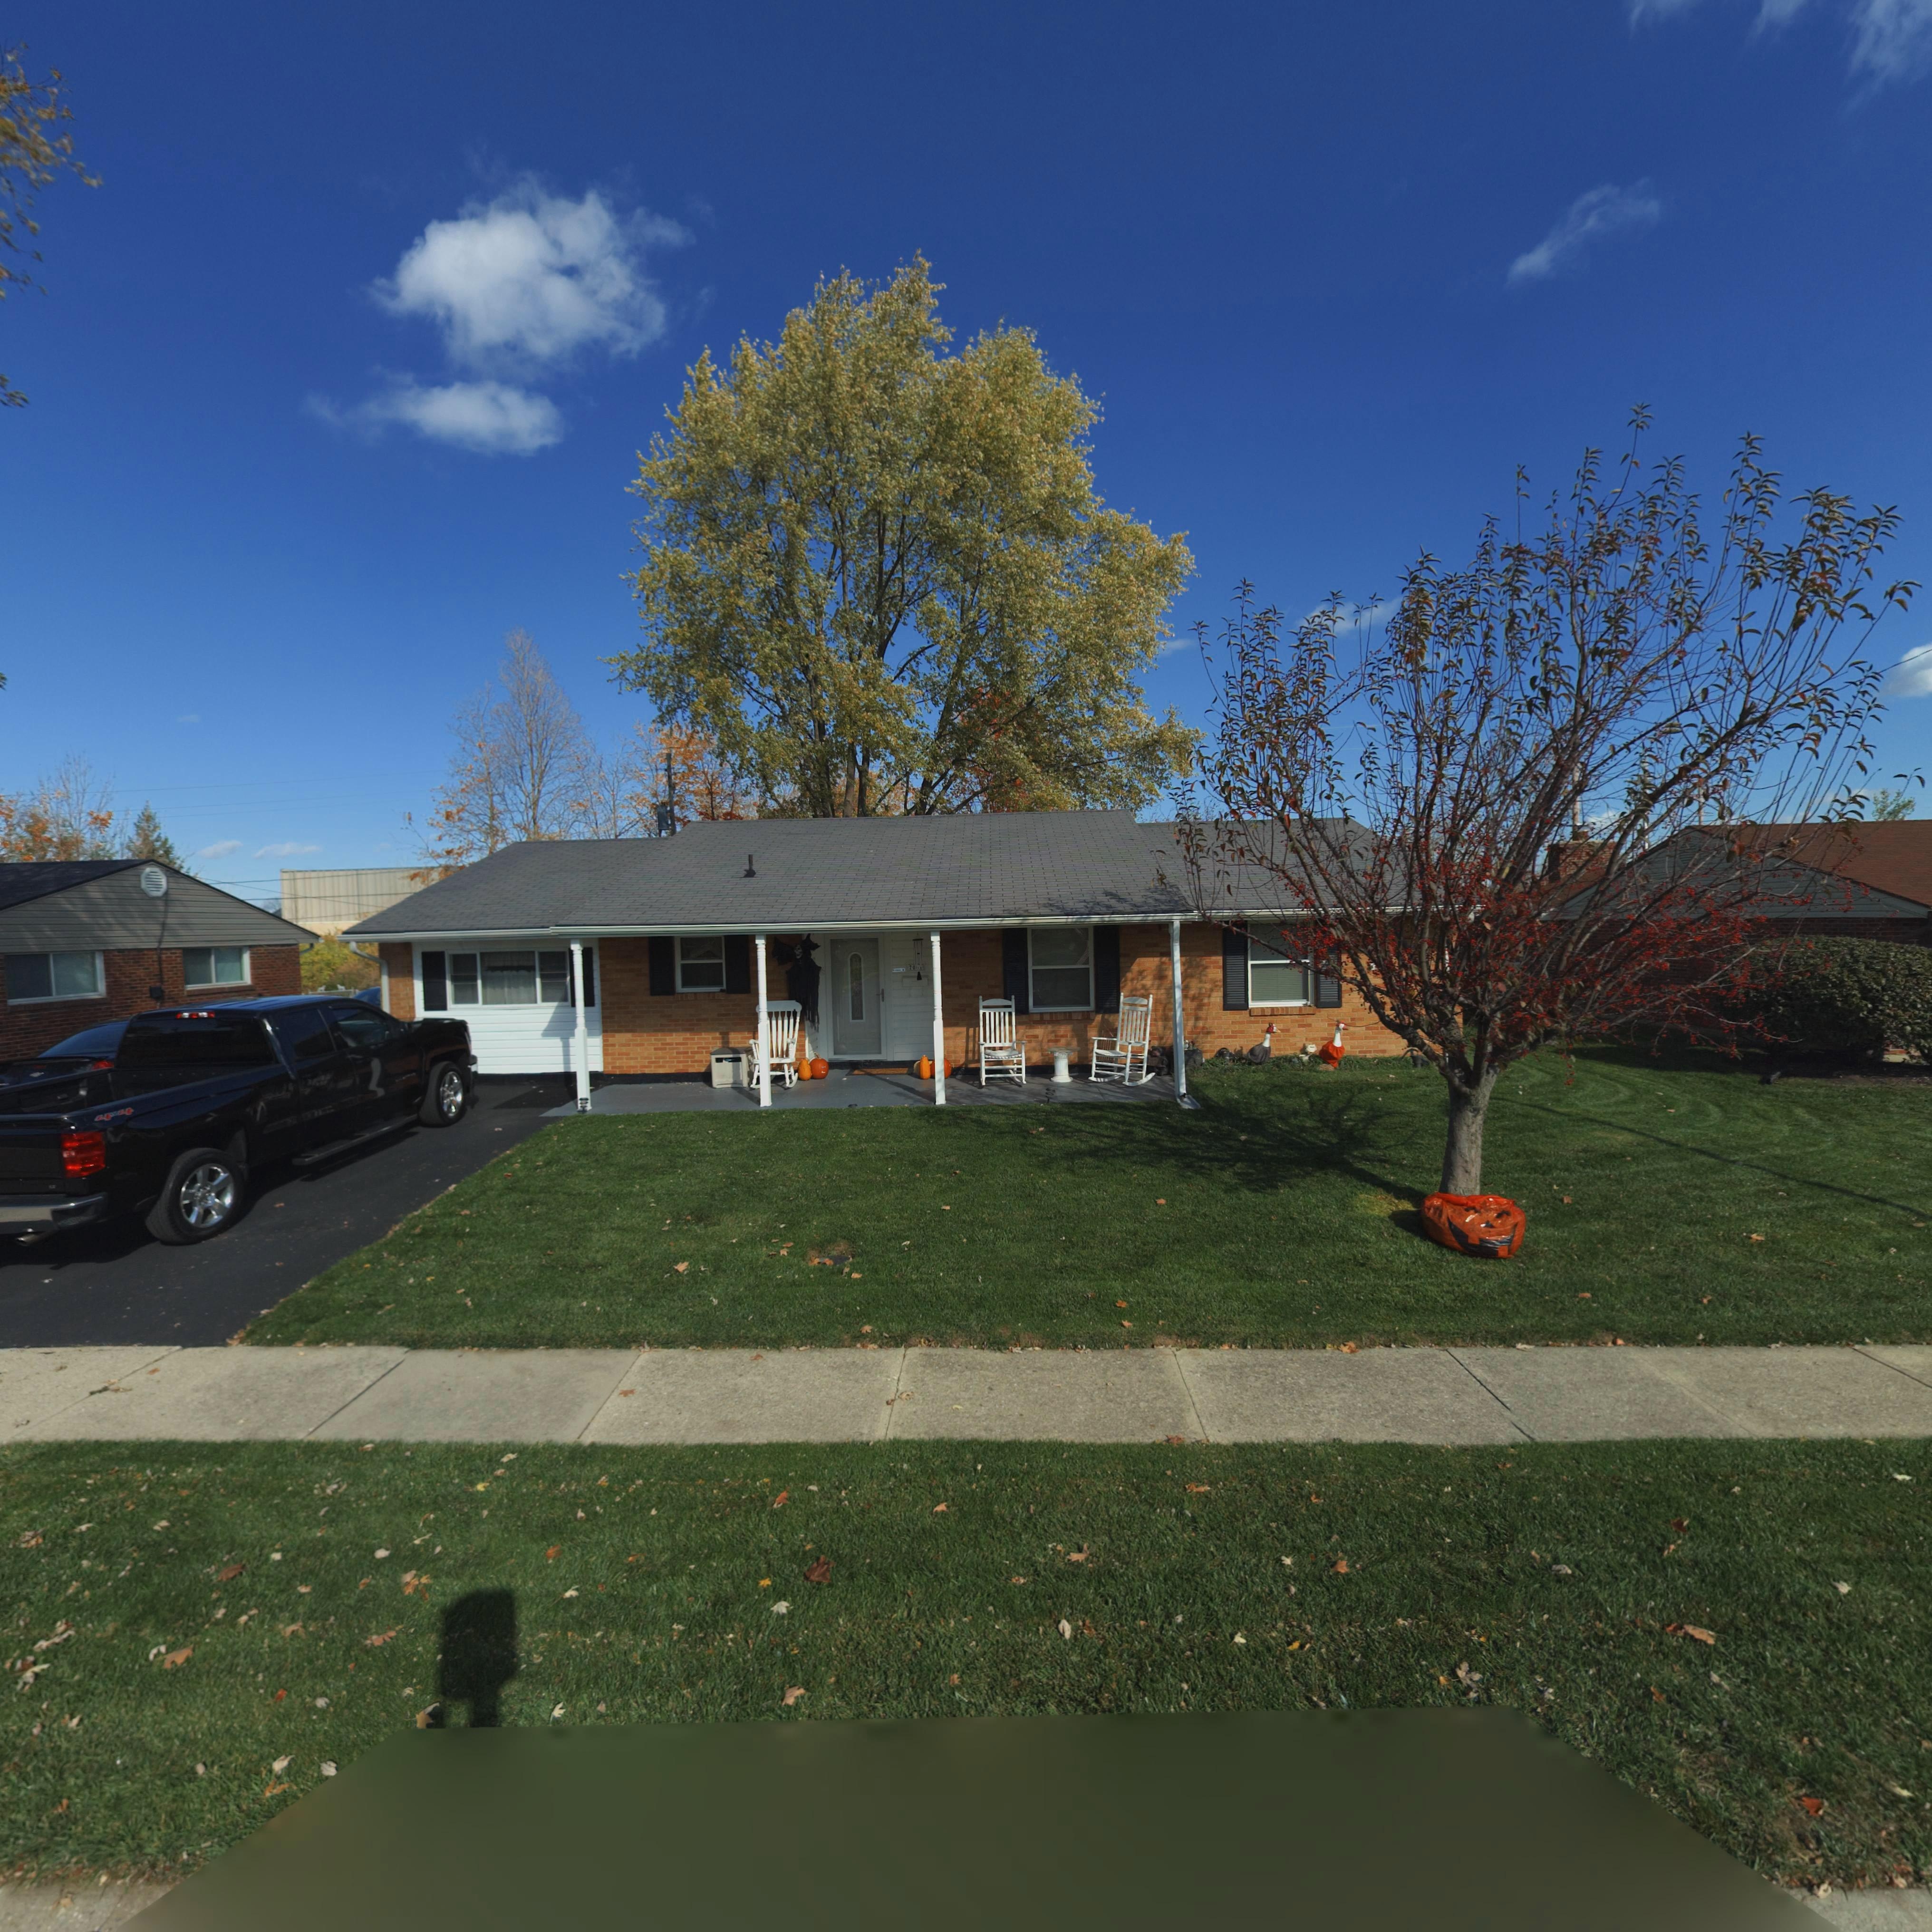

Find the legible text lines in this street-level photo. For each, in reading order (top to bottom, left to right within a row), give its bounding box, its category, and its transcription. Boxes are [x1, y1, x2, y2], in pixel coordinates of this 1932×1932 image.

[908, 964, 923, 971] StreetNumber: 70**